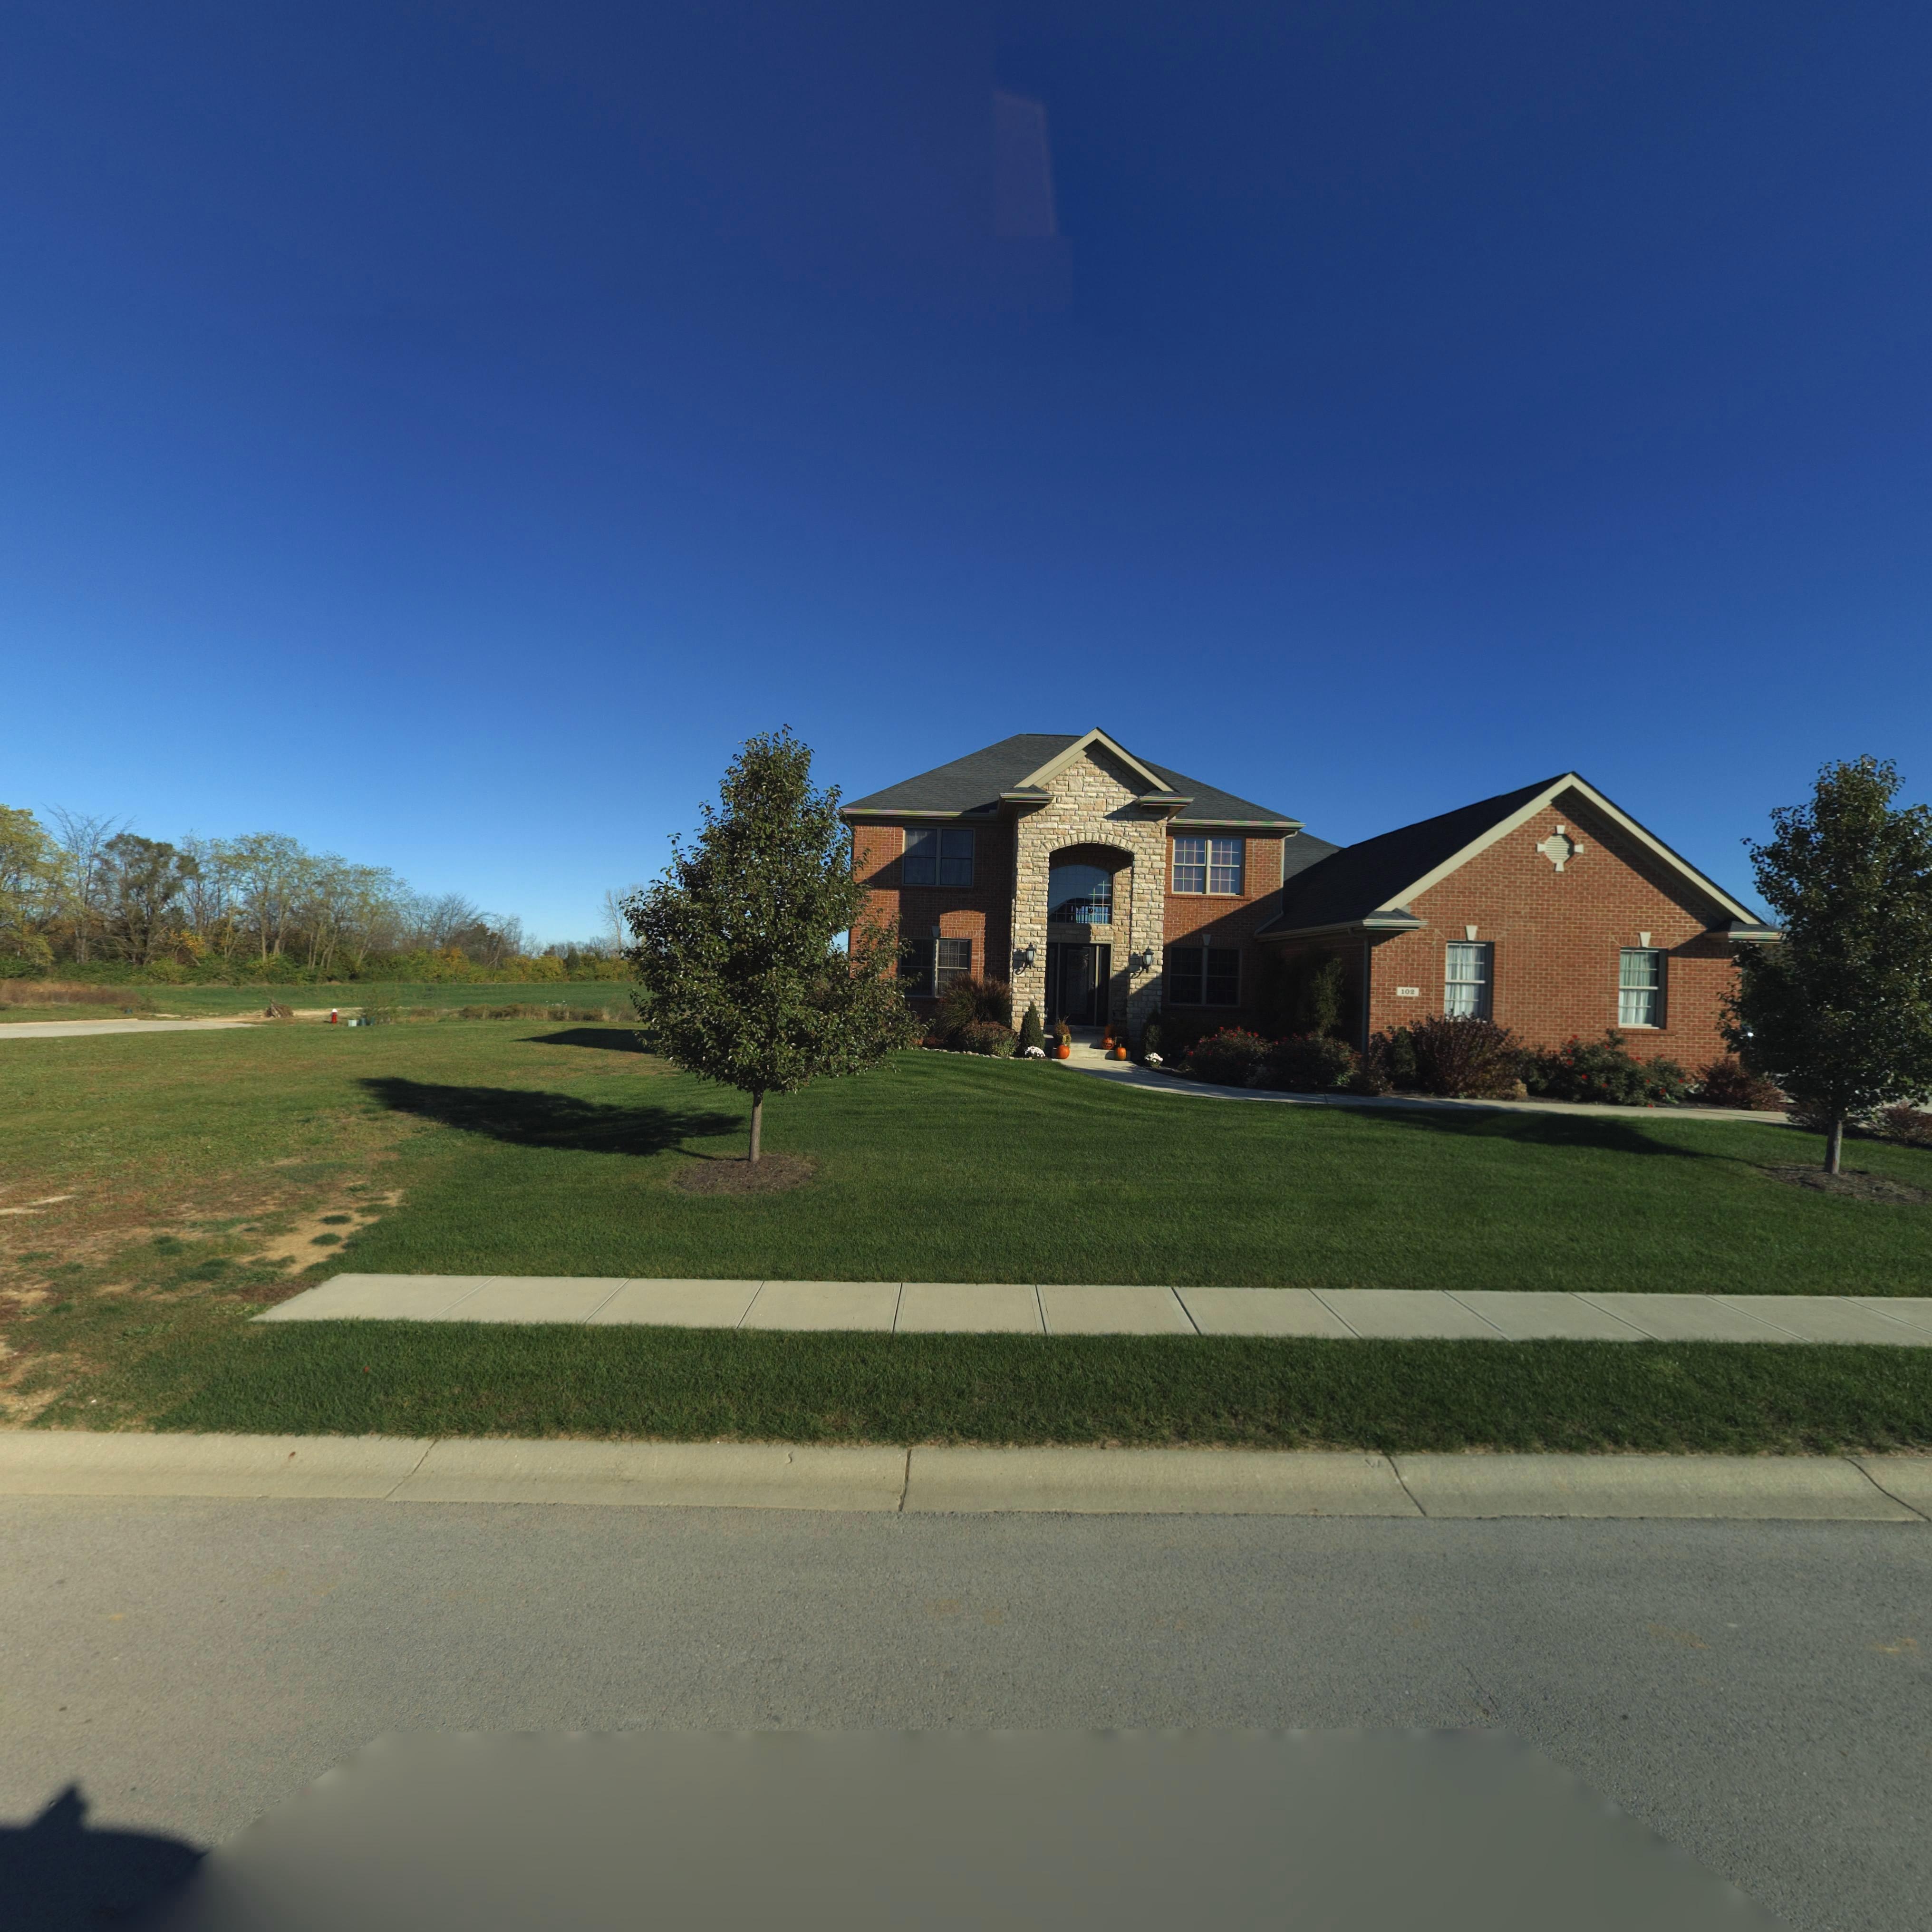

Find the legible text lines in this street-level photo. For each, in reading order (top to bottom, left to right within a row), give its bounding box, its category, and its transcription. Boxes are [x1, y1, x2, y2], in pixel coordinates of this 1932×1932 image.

[1401, 988, 1415, 995] StreetNumber: 102